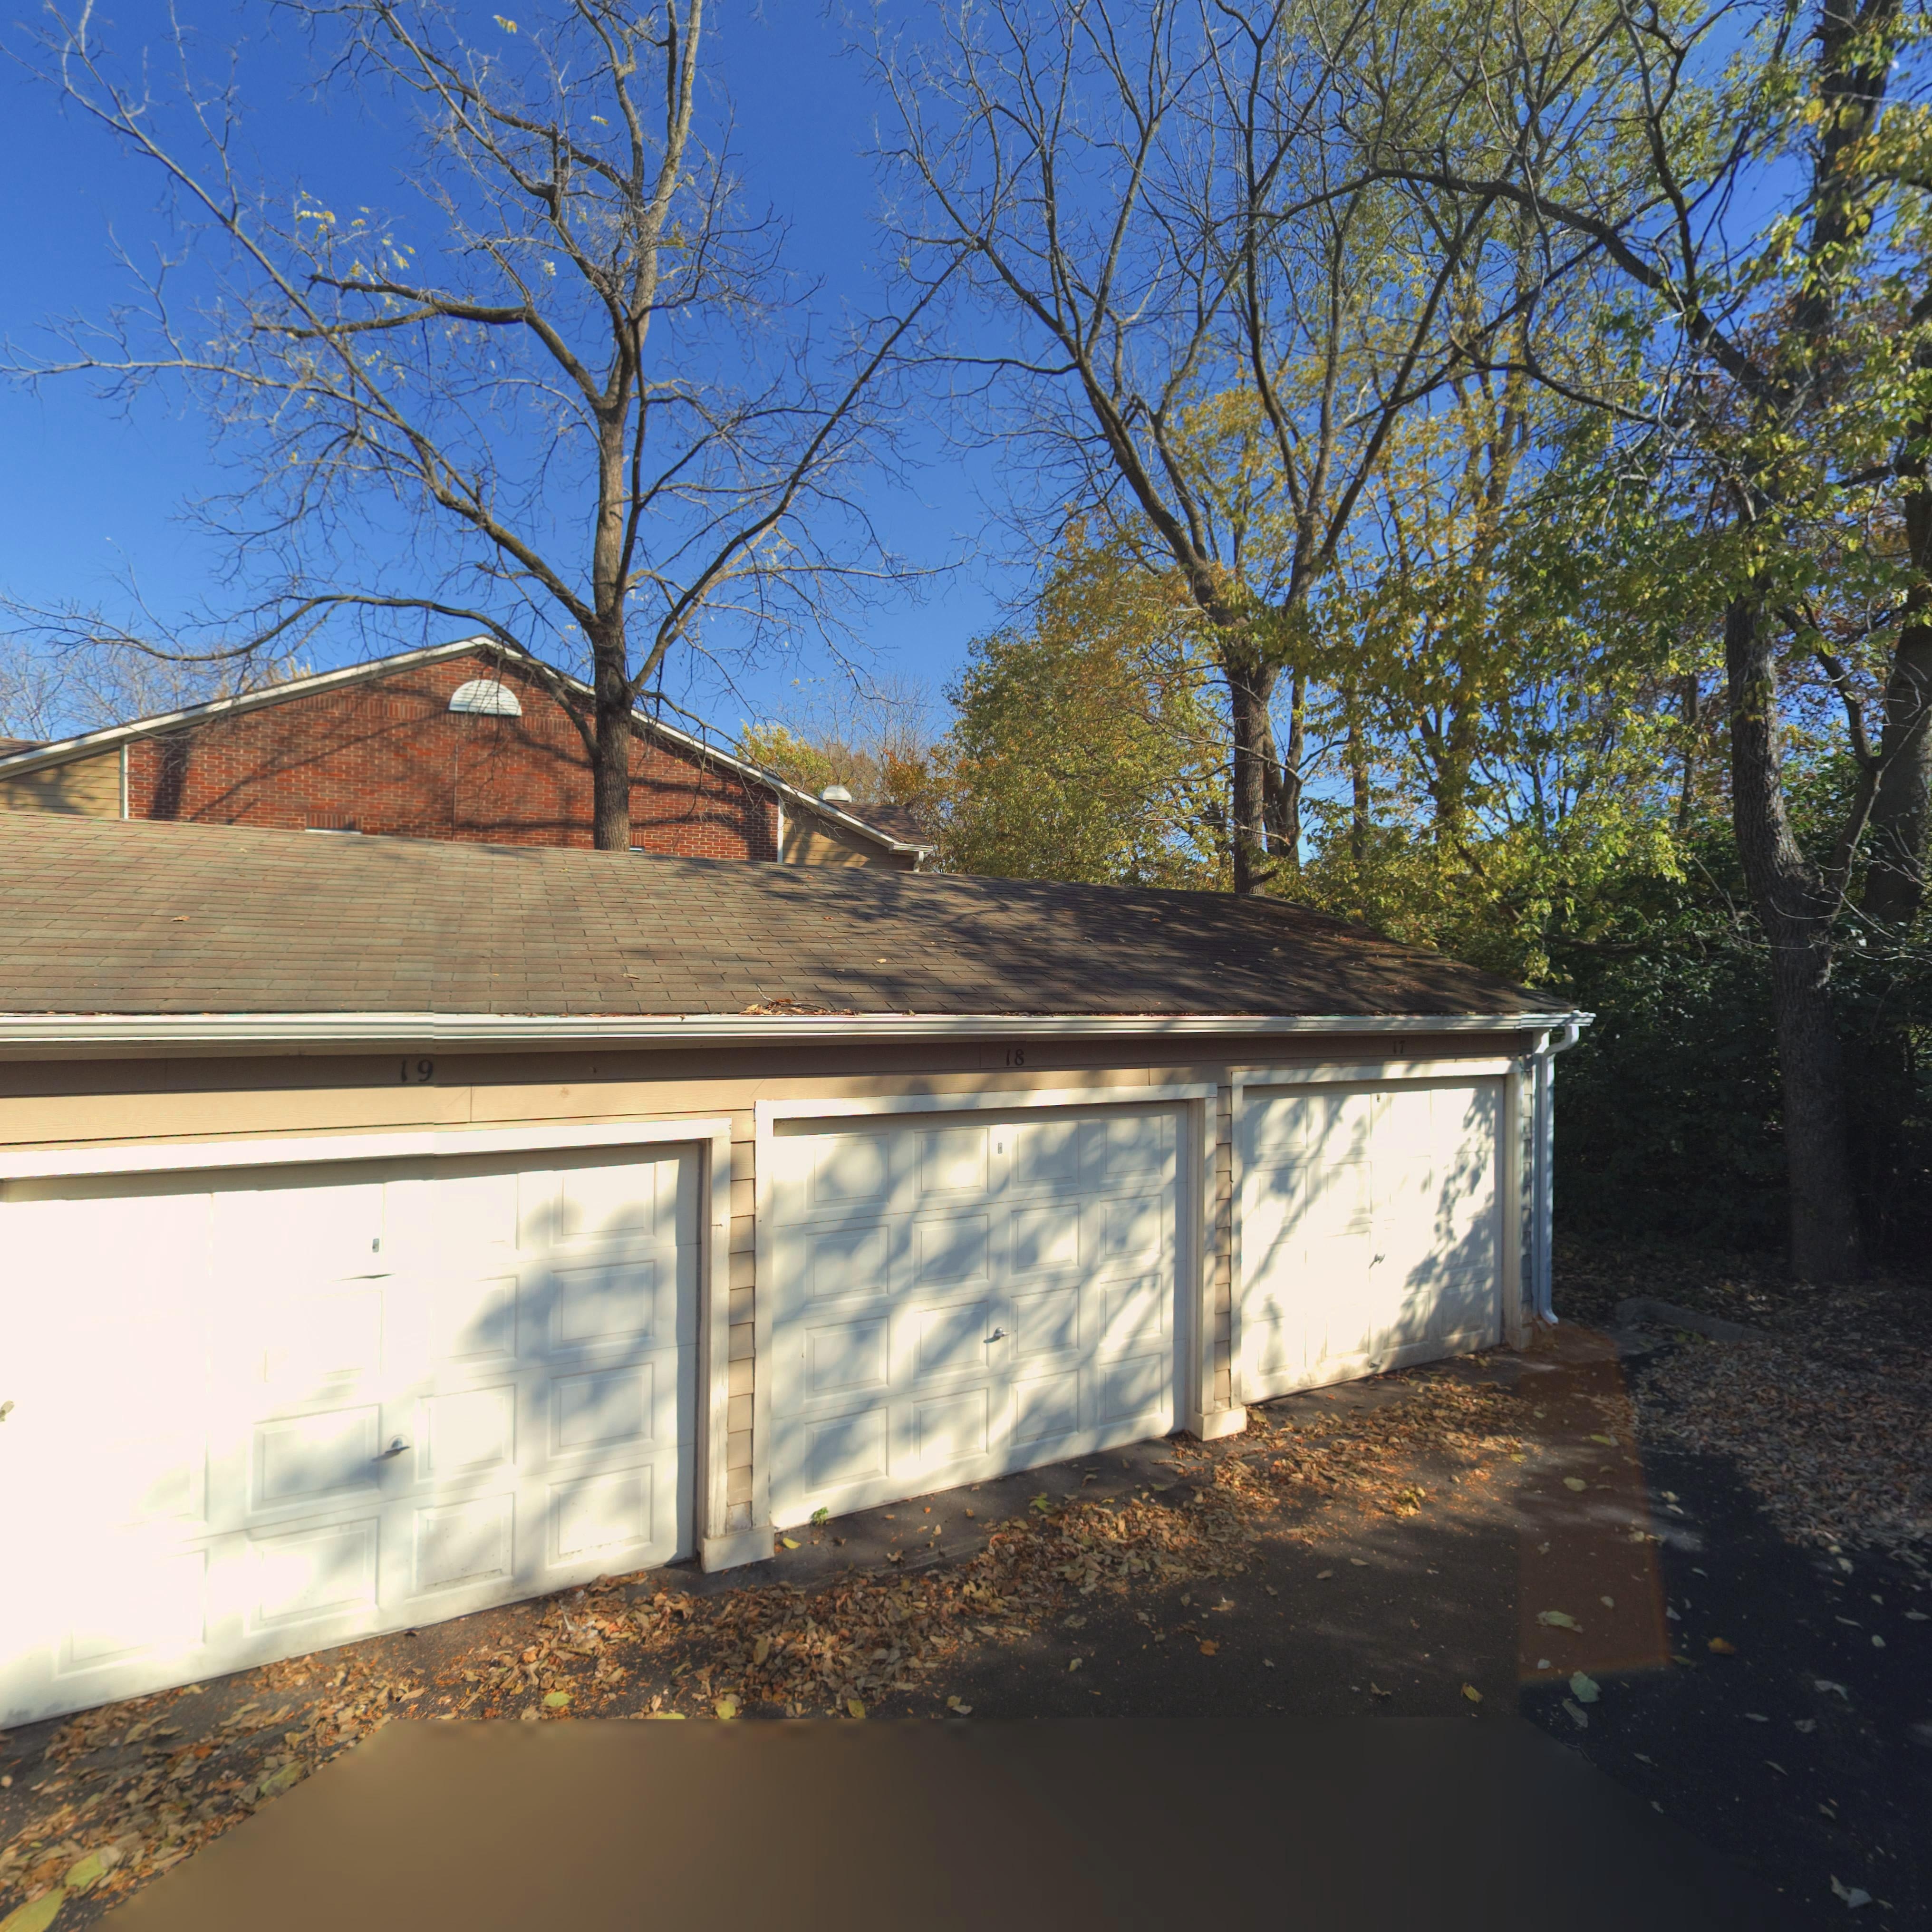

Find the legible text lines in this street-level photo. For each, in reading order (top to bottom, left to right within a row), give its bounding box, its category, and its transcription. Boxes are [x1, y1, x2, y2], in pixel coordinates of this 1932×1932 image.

[1005, 1047, 1025, 1068] StreetNumber: 18
[1391, 1038, 1406, 1055] StreetNumber: 17
[398, 1058, 435, 1084] StreetNumber: 19